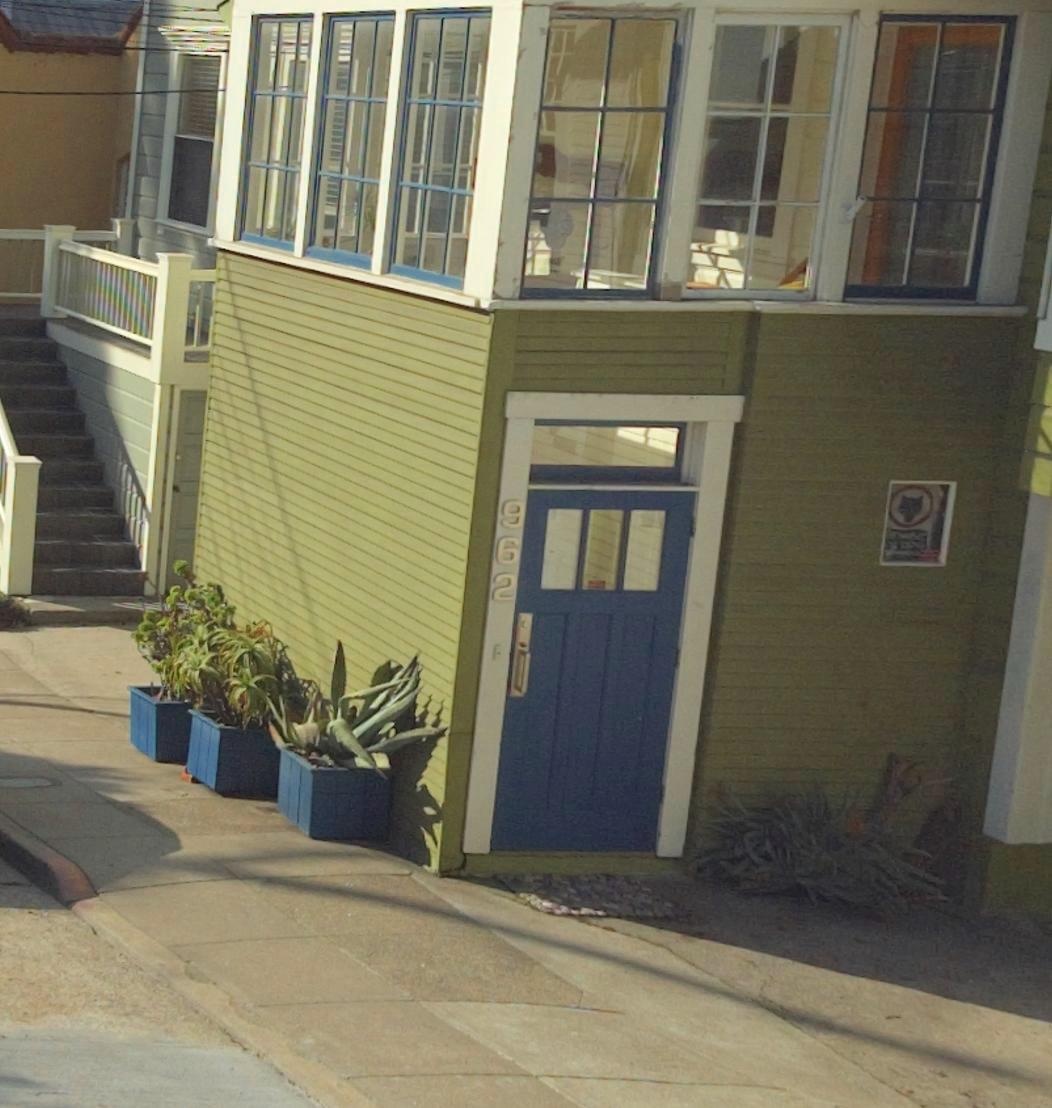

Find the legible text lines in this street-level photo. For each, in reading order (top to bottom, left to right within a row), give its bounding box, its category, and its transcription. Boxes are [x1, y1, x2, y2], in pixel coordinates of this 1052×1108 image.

[488, 500, 527, 603] StreetNumber: 962